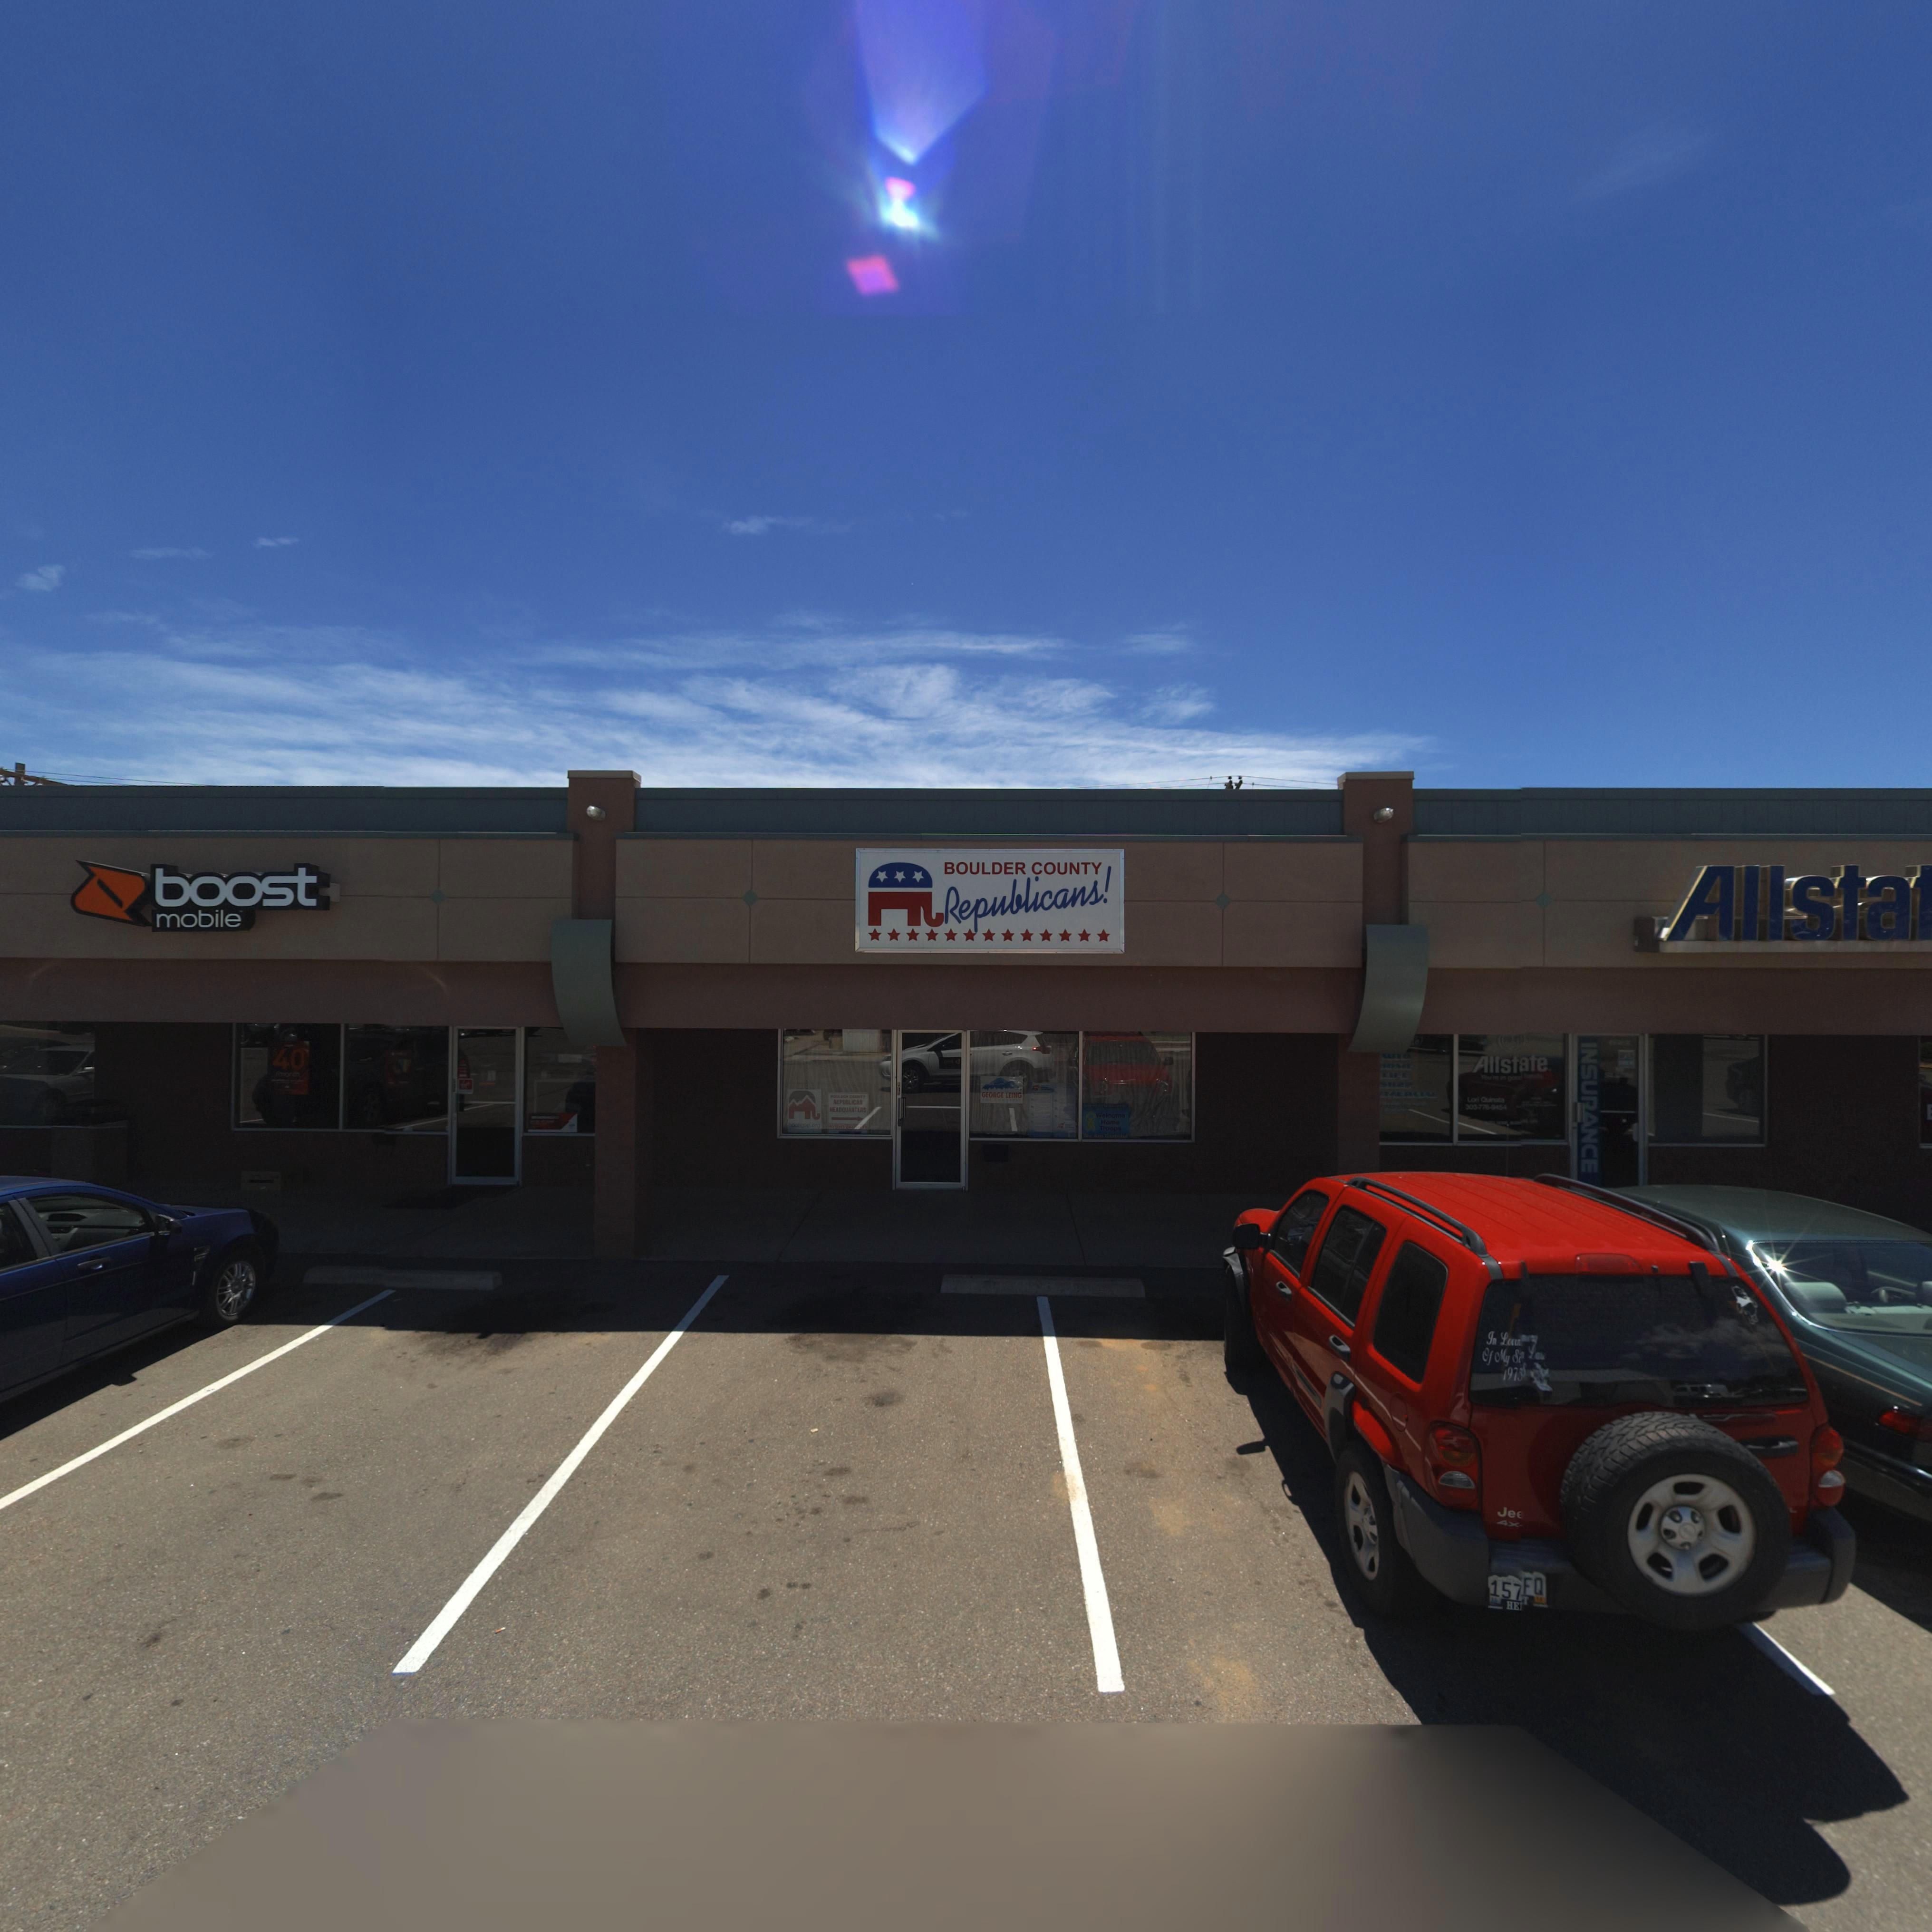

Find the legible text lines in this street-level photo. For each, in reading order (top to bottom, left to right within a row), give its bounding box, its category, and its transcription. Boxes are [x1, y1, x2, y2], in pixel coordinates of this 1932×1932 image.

[155, 908, 241, 929] BusinessName: mobile
[153, 865, 319, 908] BusinessName: boost
[1659, 861, 1913, 943] BusinessName: Allsta
[1470, 1054, 1549, 1074] BusinessName: Allstate